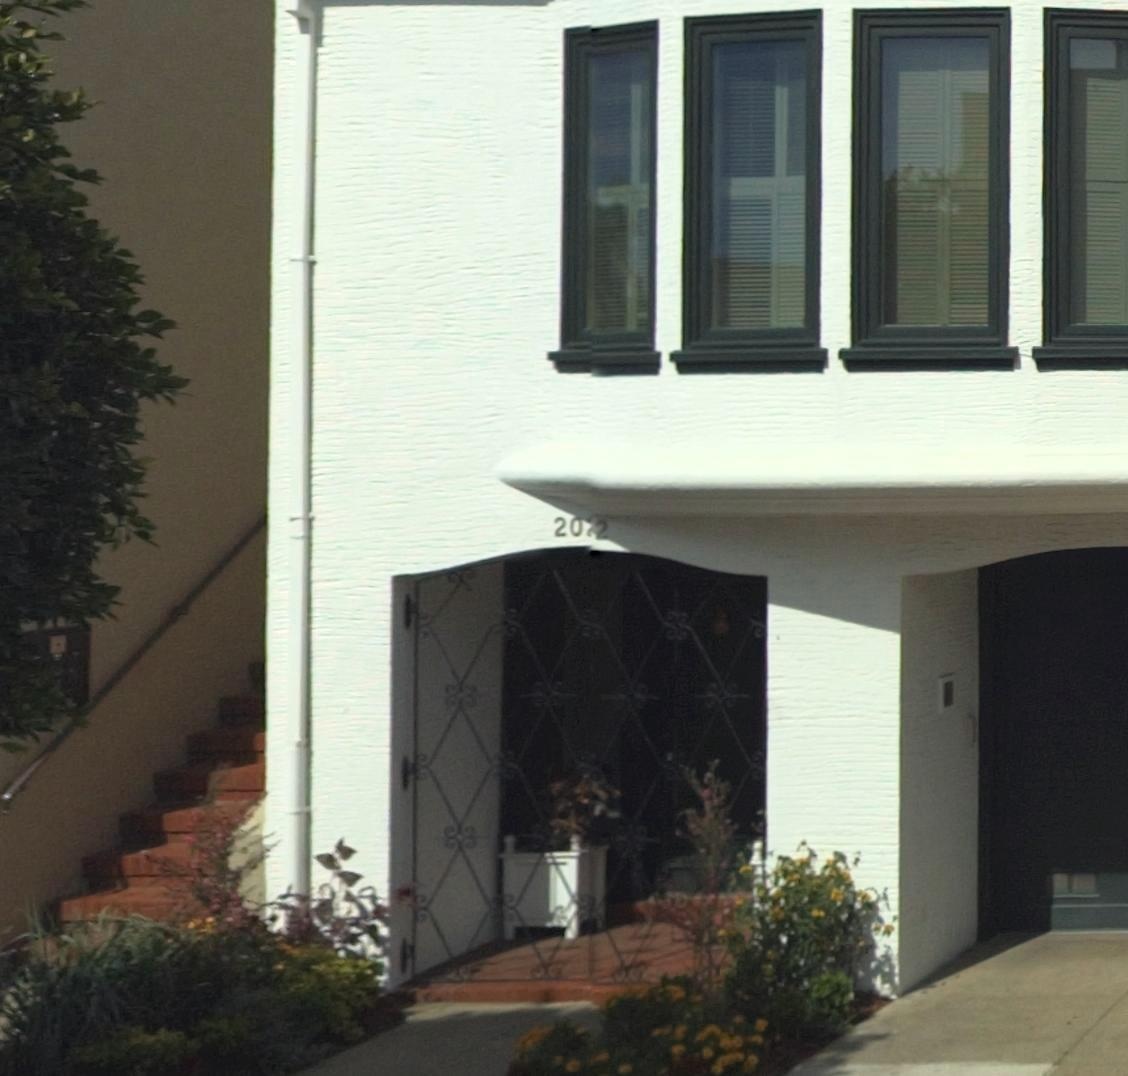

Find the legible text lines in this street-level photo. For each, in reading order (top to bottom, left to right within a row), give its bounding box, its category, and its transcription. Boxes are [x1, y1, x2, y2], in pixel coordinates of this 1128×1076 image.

[551, 514, 613, 543] StreetNumber: 20**